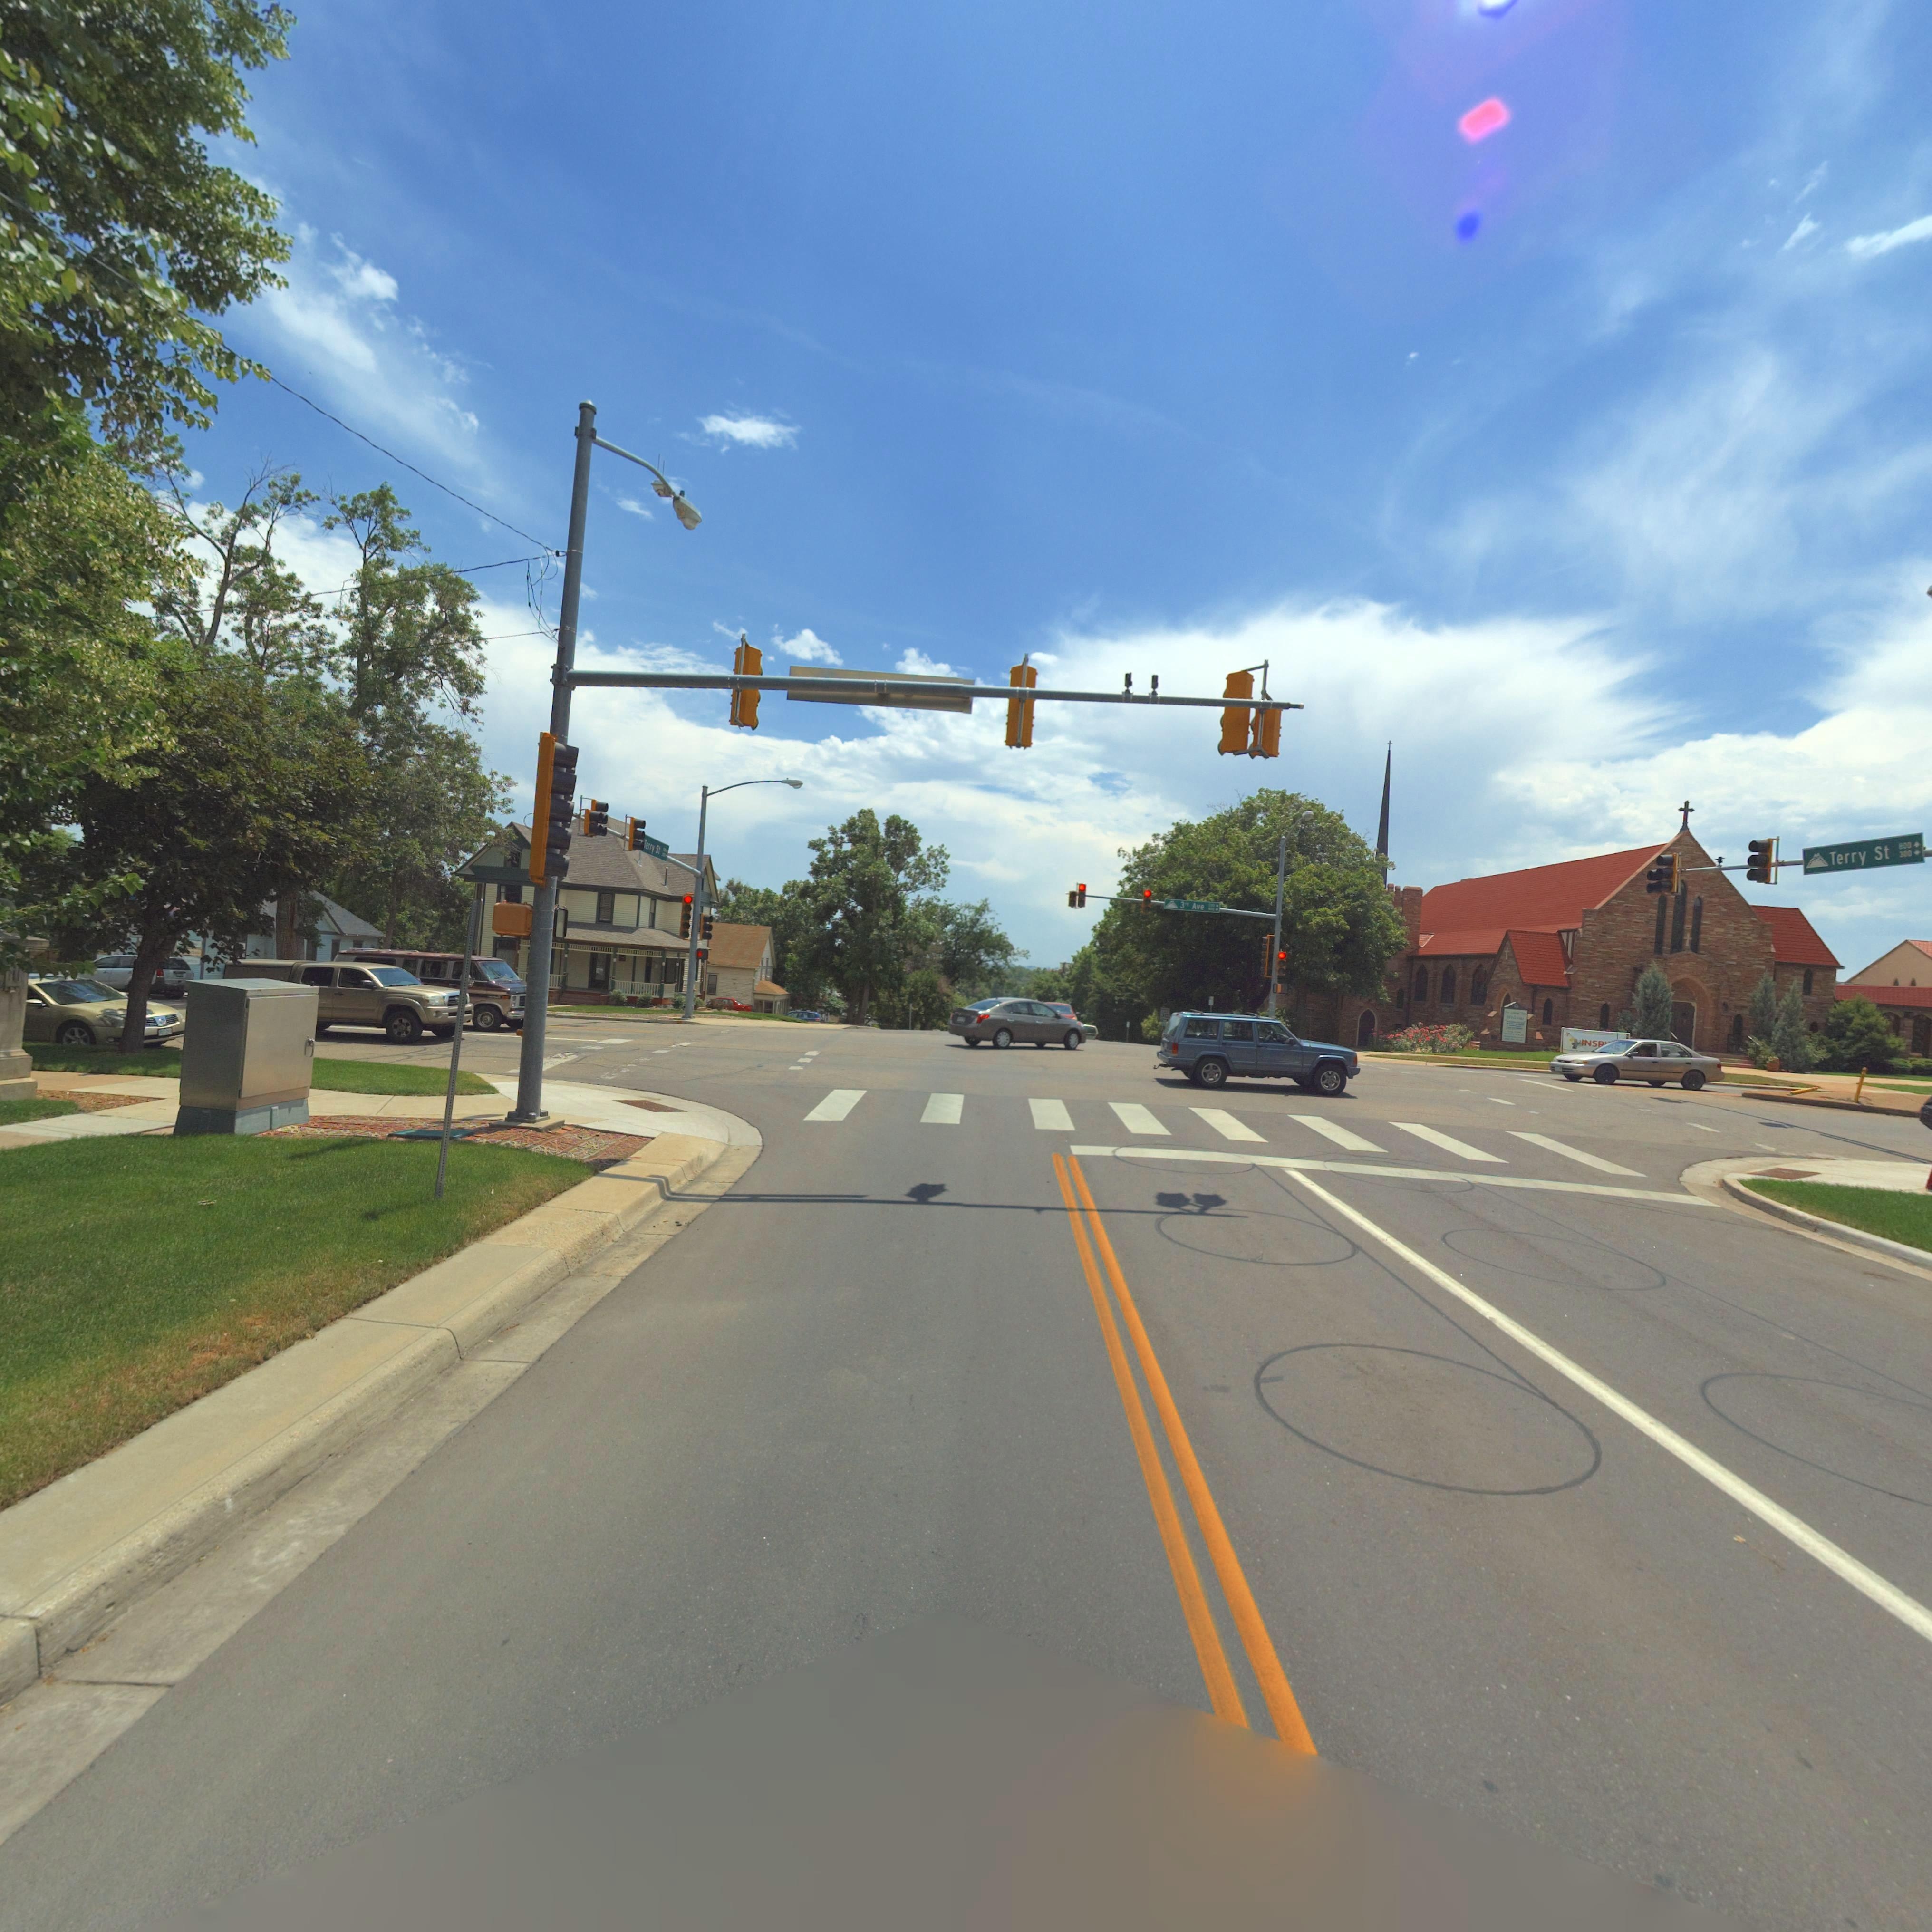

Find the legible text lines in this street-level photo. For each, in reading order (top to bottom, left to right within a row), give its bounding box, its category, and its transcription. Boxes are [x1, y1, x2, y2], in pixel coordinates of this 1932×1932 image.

[643, 838, 661, 855] StreetName: Terry S*
[1898, 841, 1912, 850] StreetNumberRange: 800
[1828, 844, 1890, 866] StreetName: Terry St
[1899, 850, 1920, 858] StreetNumberRange: 300->
[1179, 901, 1205, 910] StreetName: 3** Ave